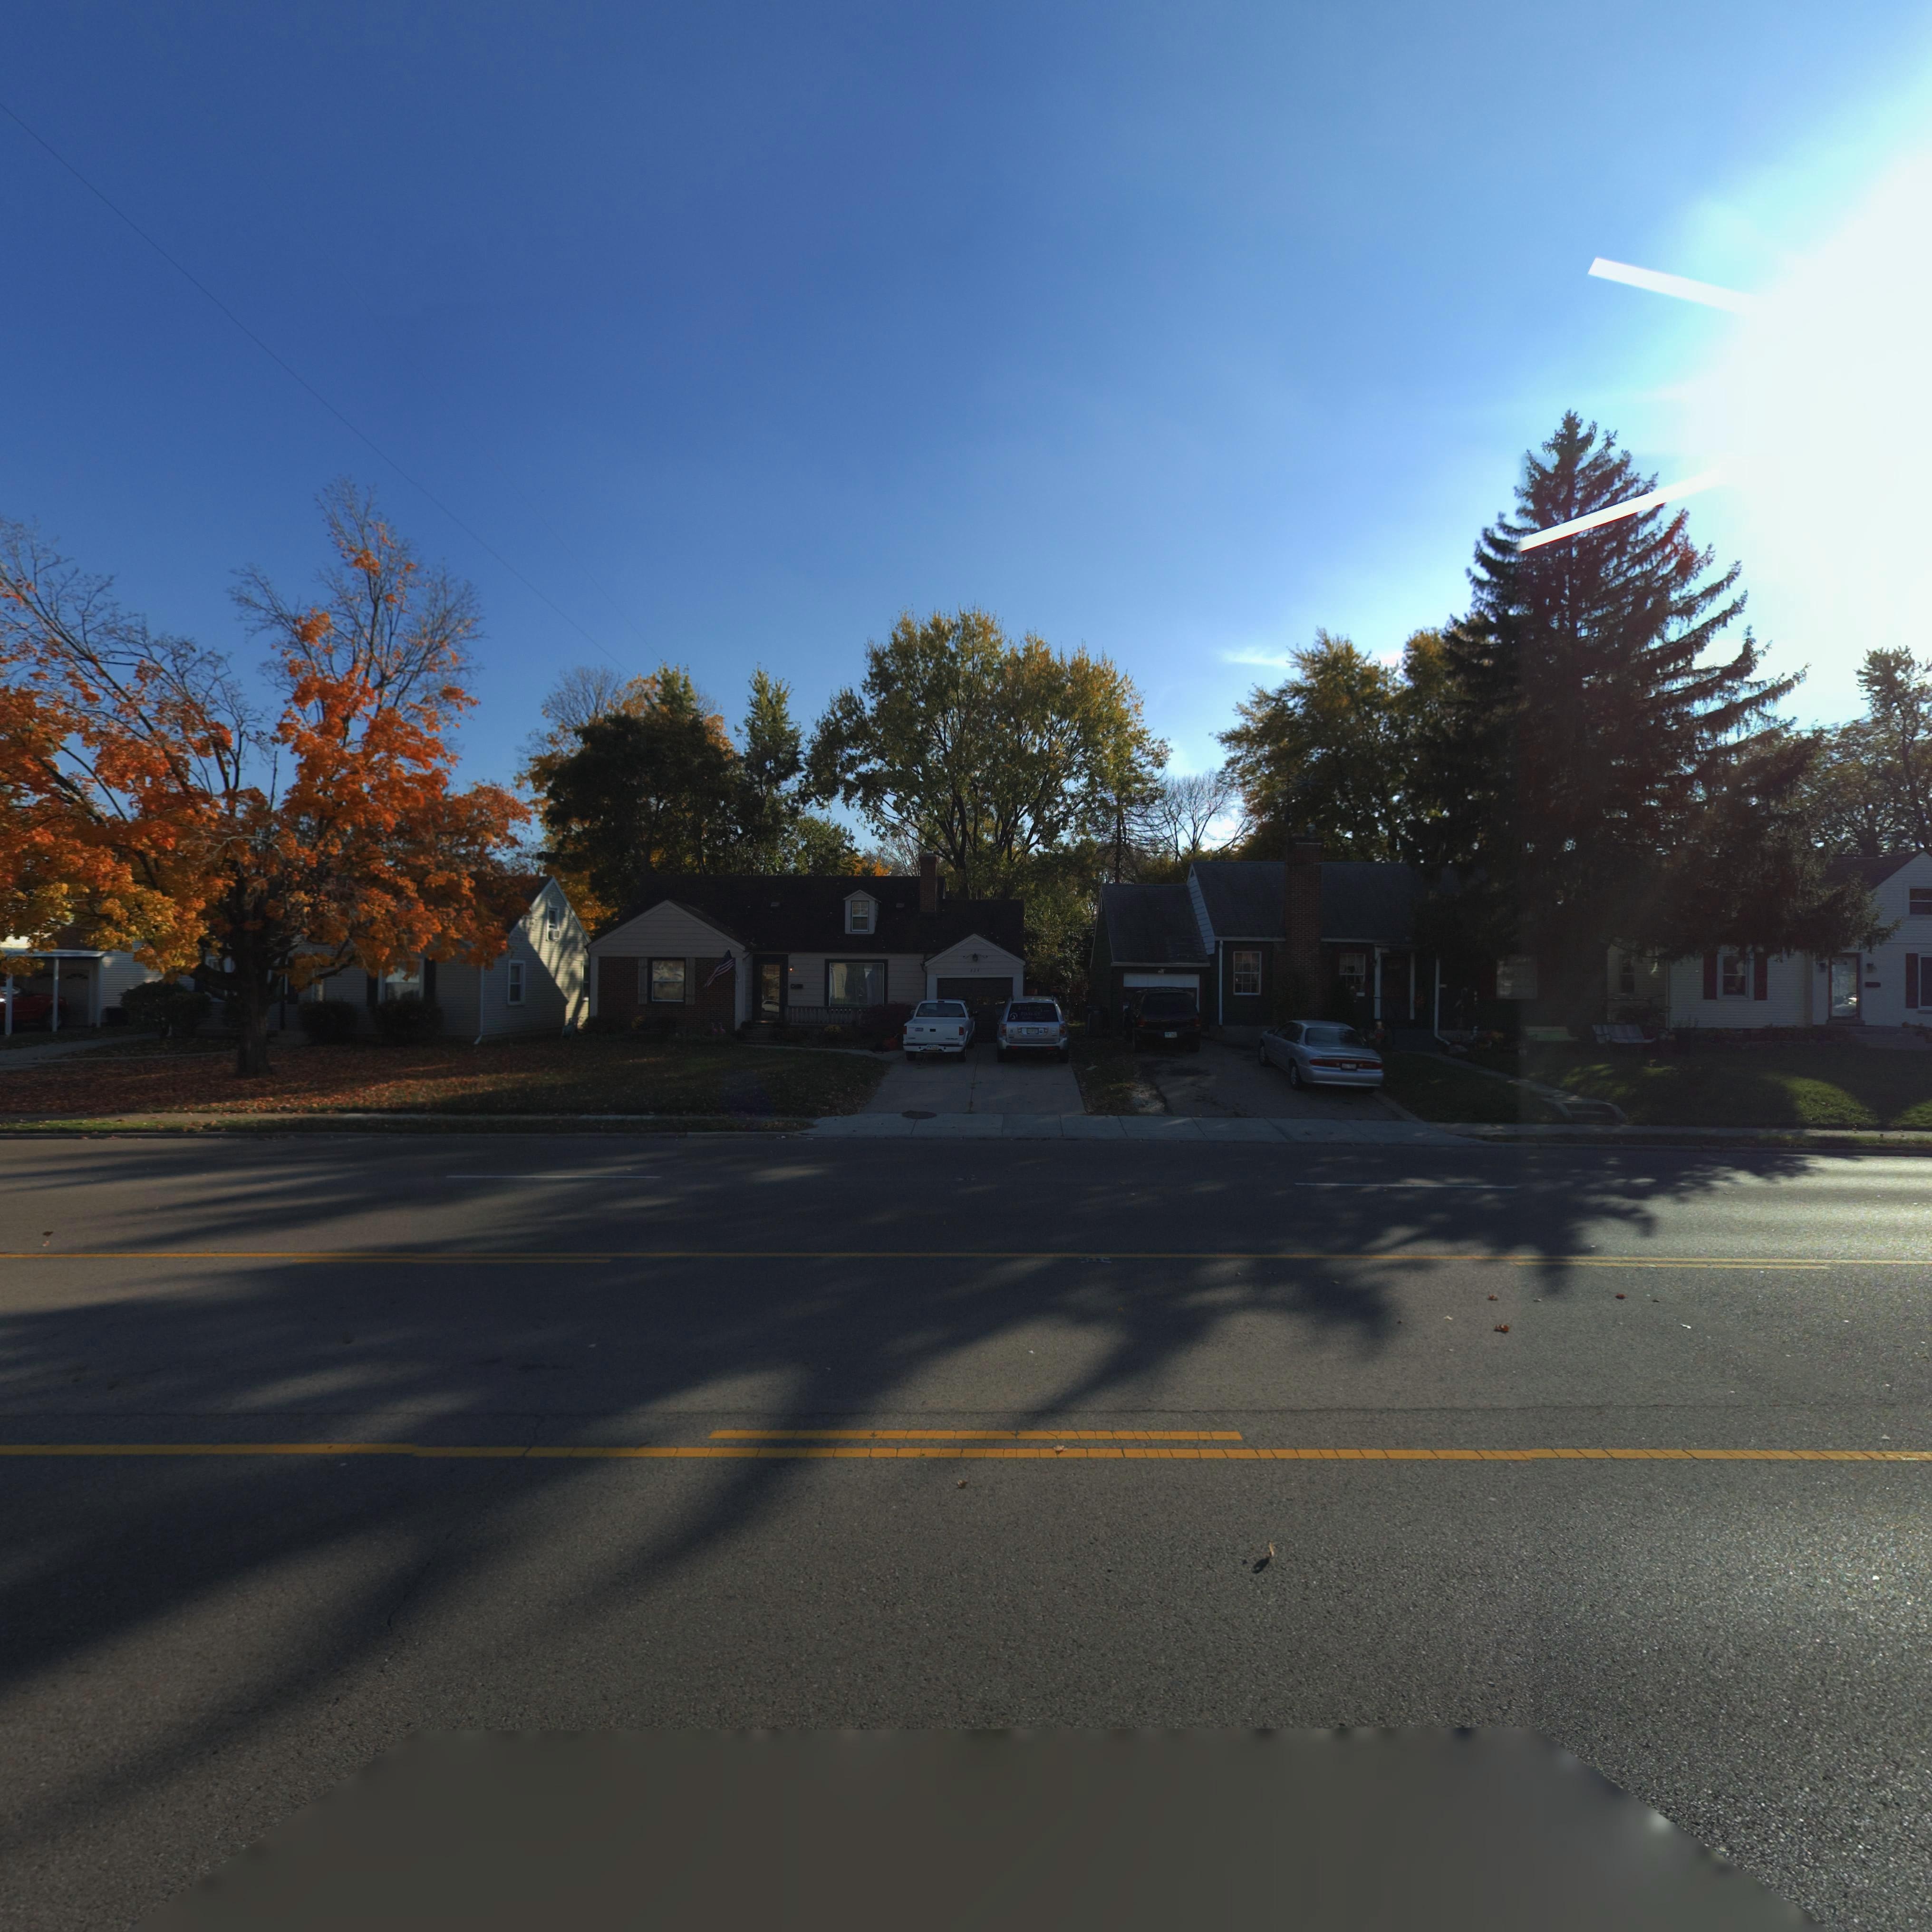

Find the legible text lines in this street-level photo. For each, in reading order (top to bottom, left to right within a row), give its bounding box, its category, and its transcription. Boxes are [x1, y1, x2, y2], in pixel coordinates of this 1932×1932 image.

[970, 968, 980, 973] StreetNumber: 424